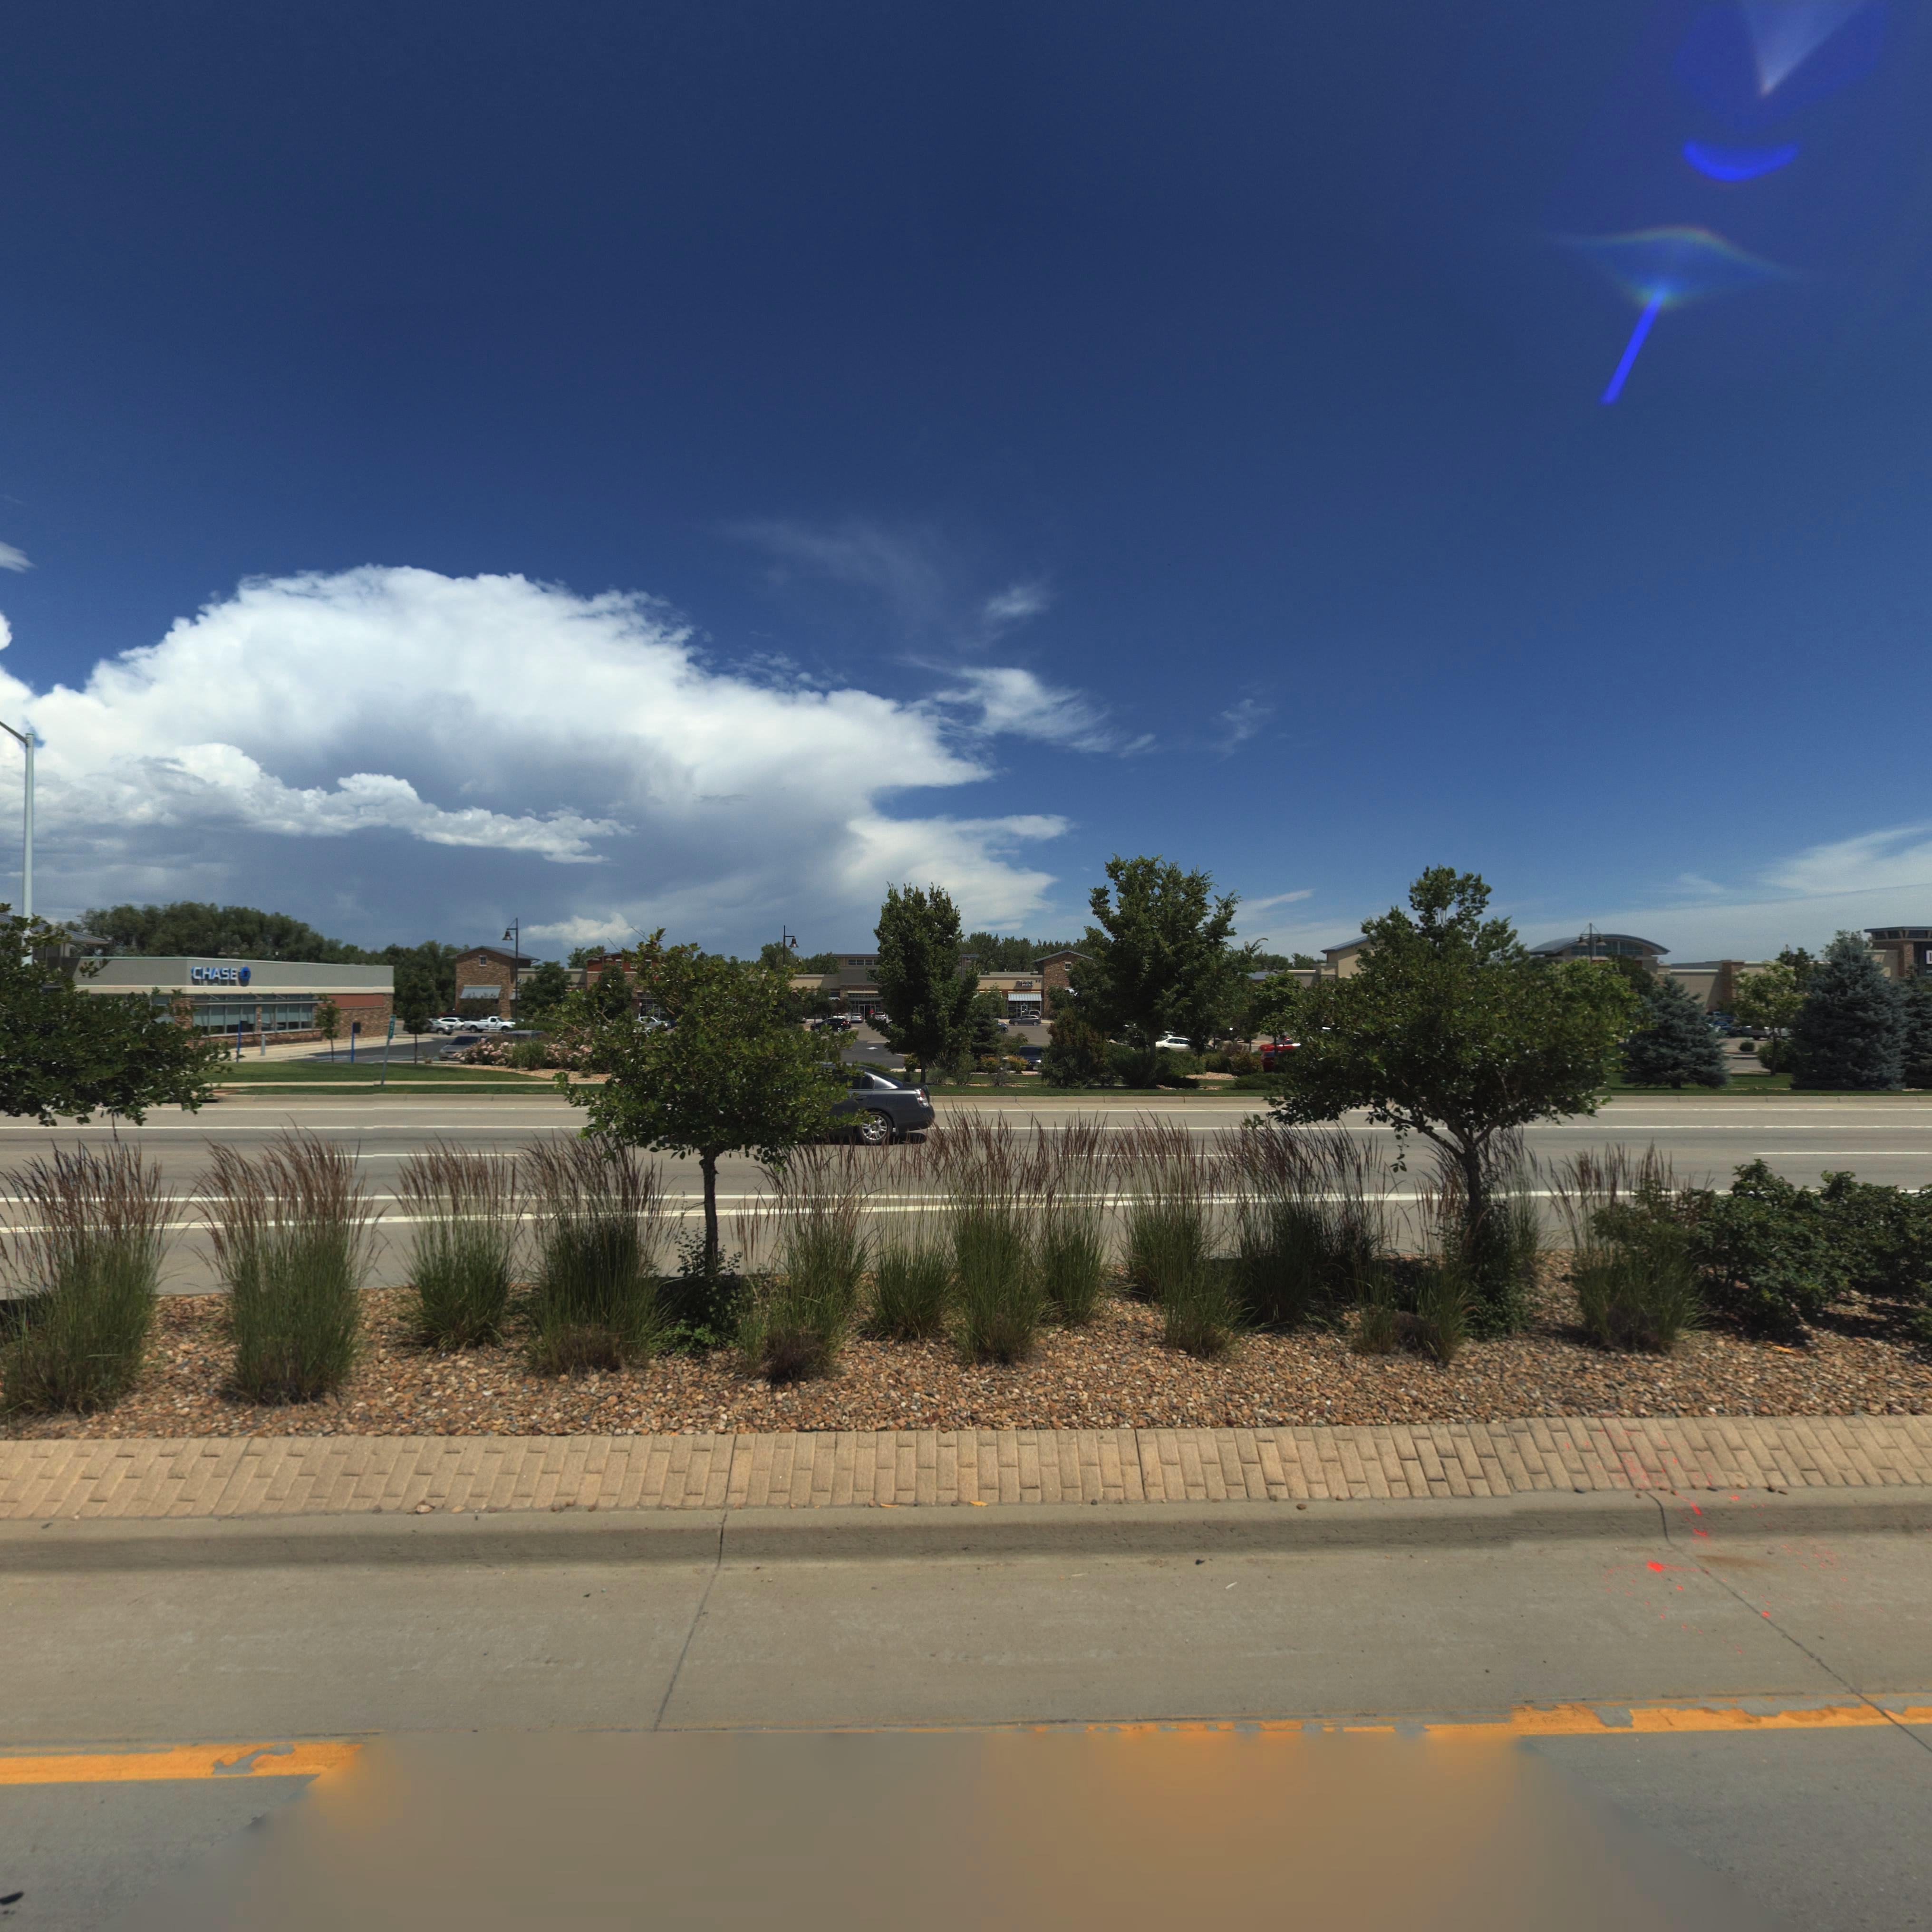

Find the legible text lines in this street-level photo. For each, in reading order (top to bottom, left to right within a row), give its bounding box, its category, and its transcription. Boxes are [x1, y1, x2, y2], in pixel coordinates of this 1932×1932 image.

[193, 966, 237, 980] BusinessName: CHASE
[1022, 980, 1033, 983] BusinessName: JIMMY
[1021, 983, 1034, 987] BusinessName: JOHN'S